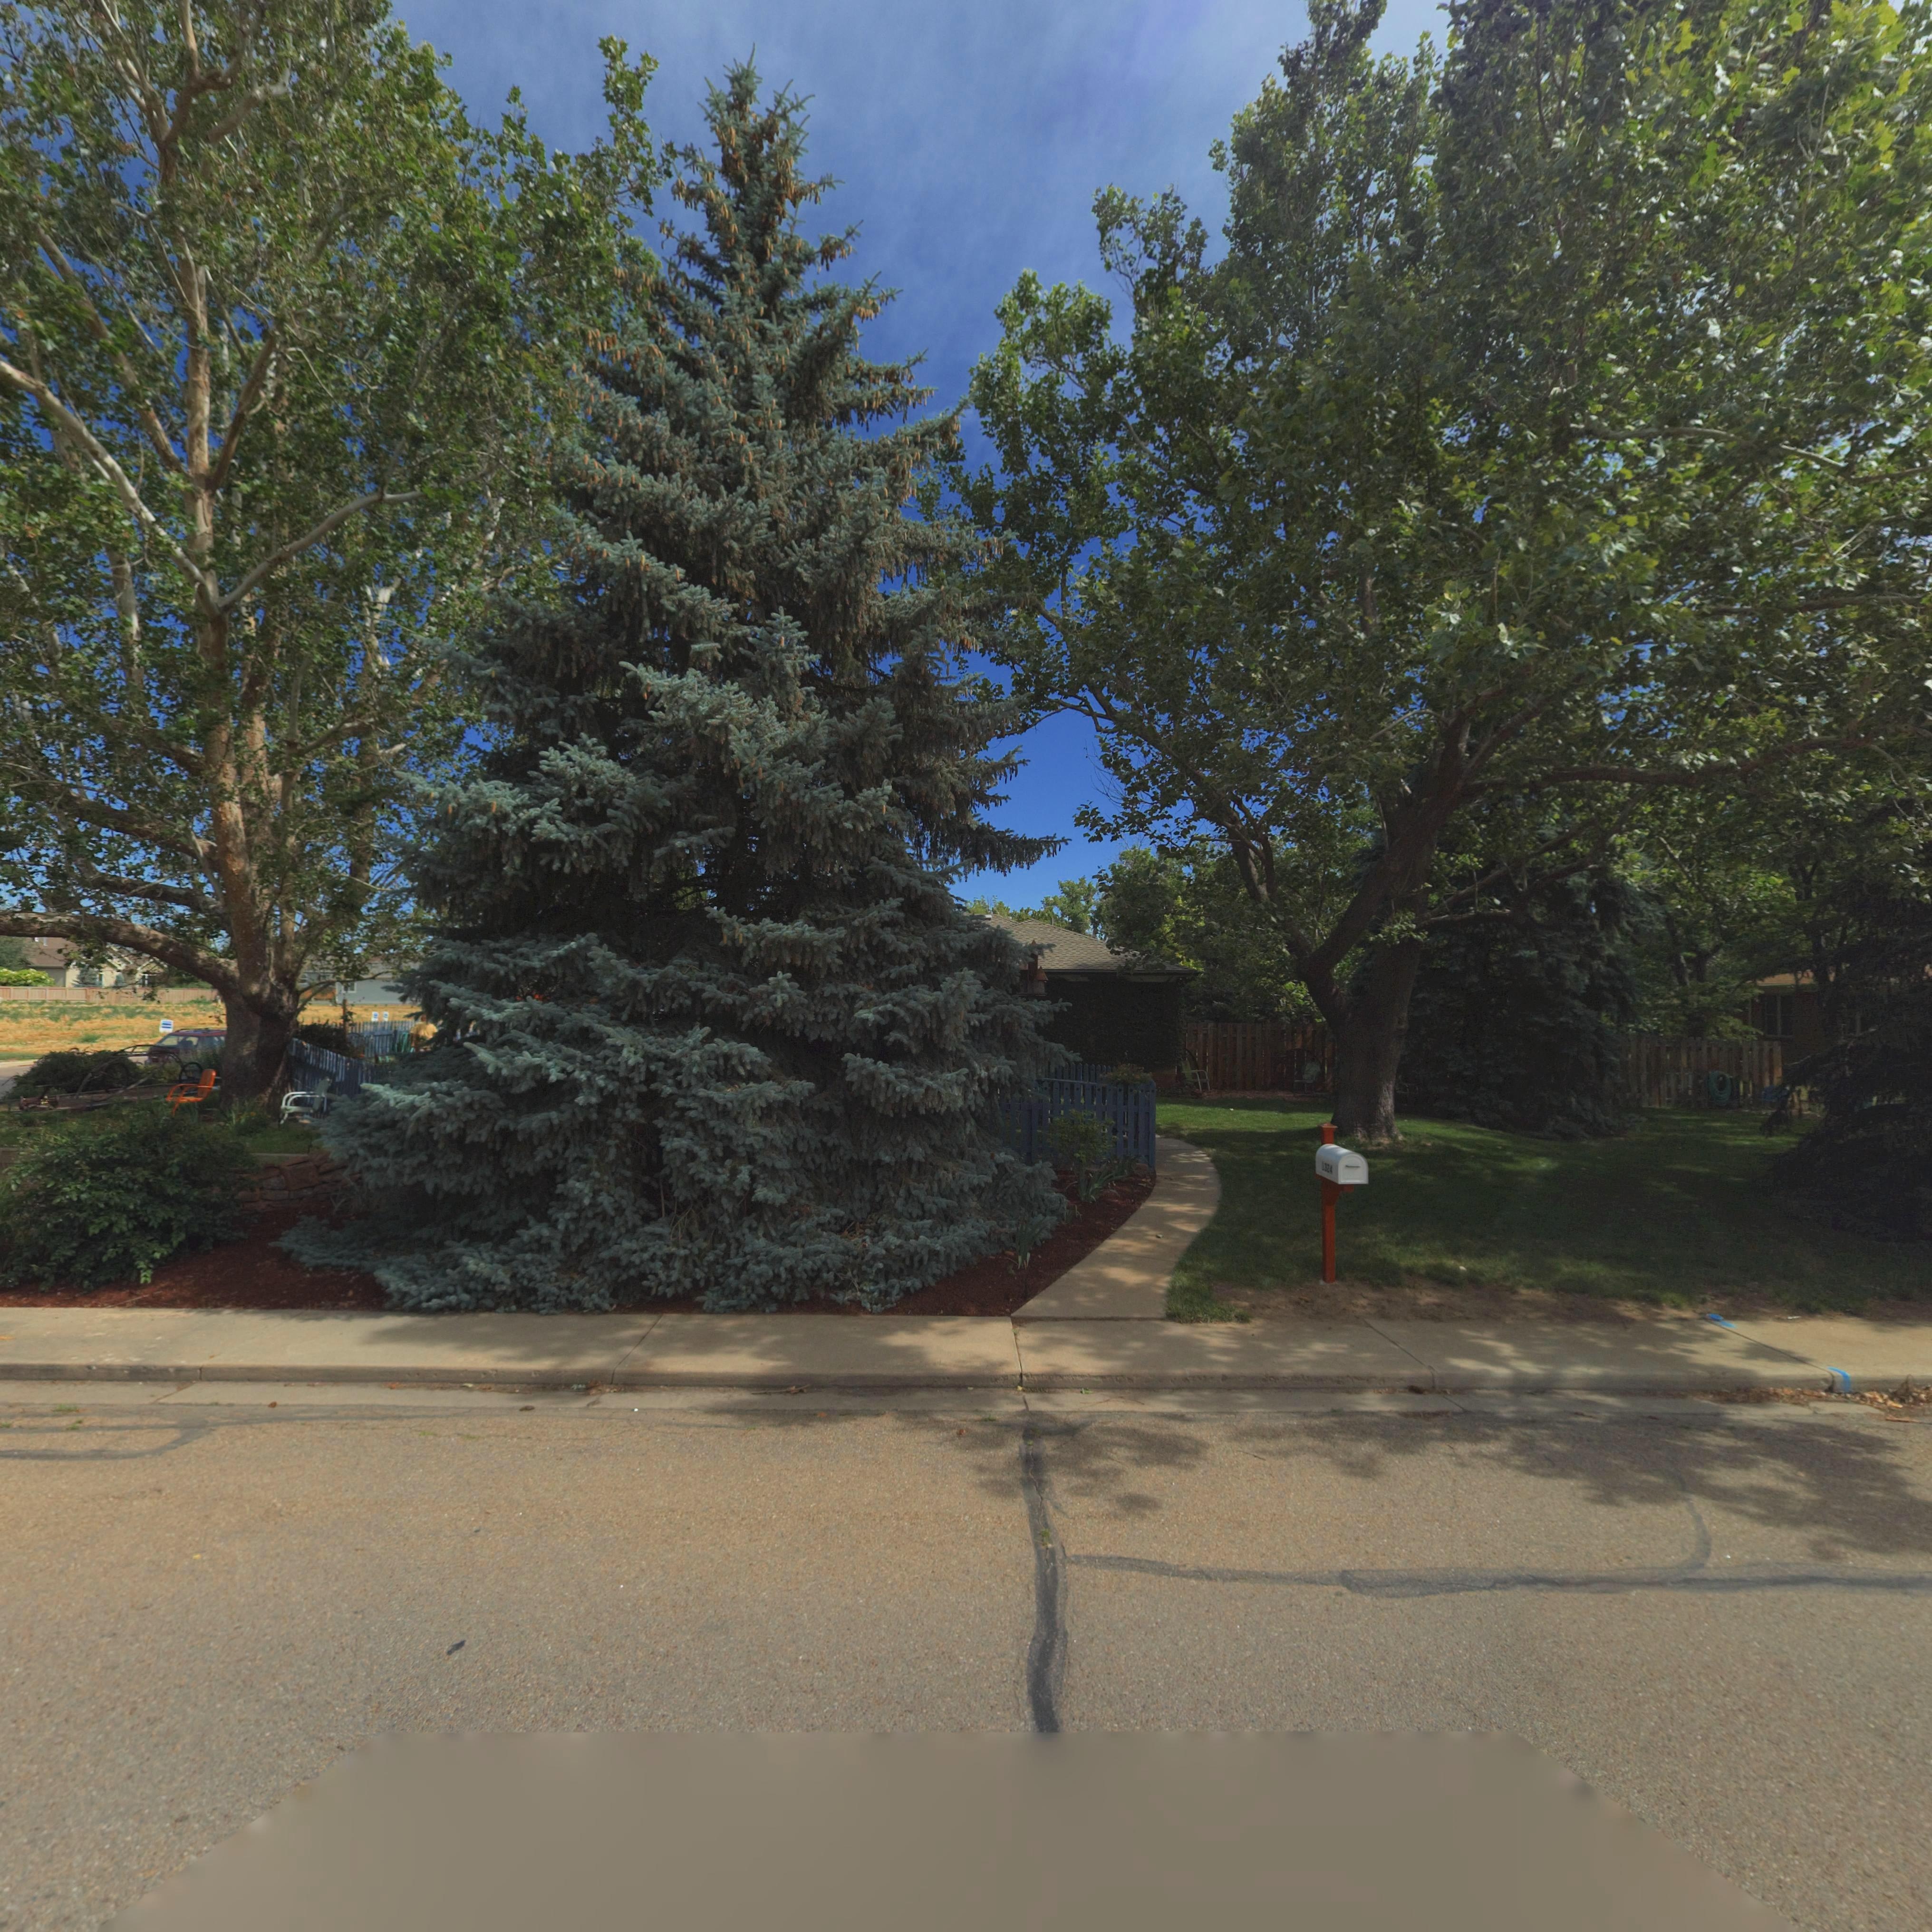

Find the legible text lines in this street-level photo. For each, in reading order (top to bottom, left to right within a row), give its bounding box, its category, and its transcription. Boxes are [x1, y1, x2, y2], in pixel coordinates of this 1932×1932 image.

[1322, 1161, 1333, 1174] StreetNumber: 1324